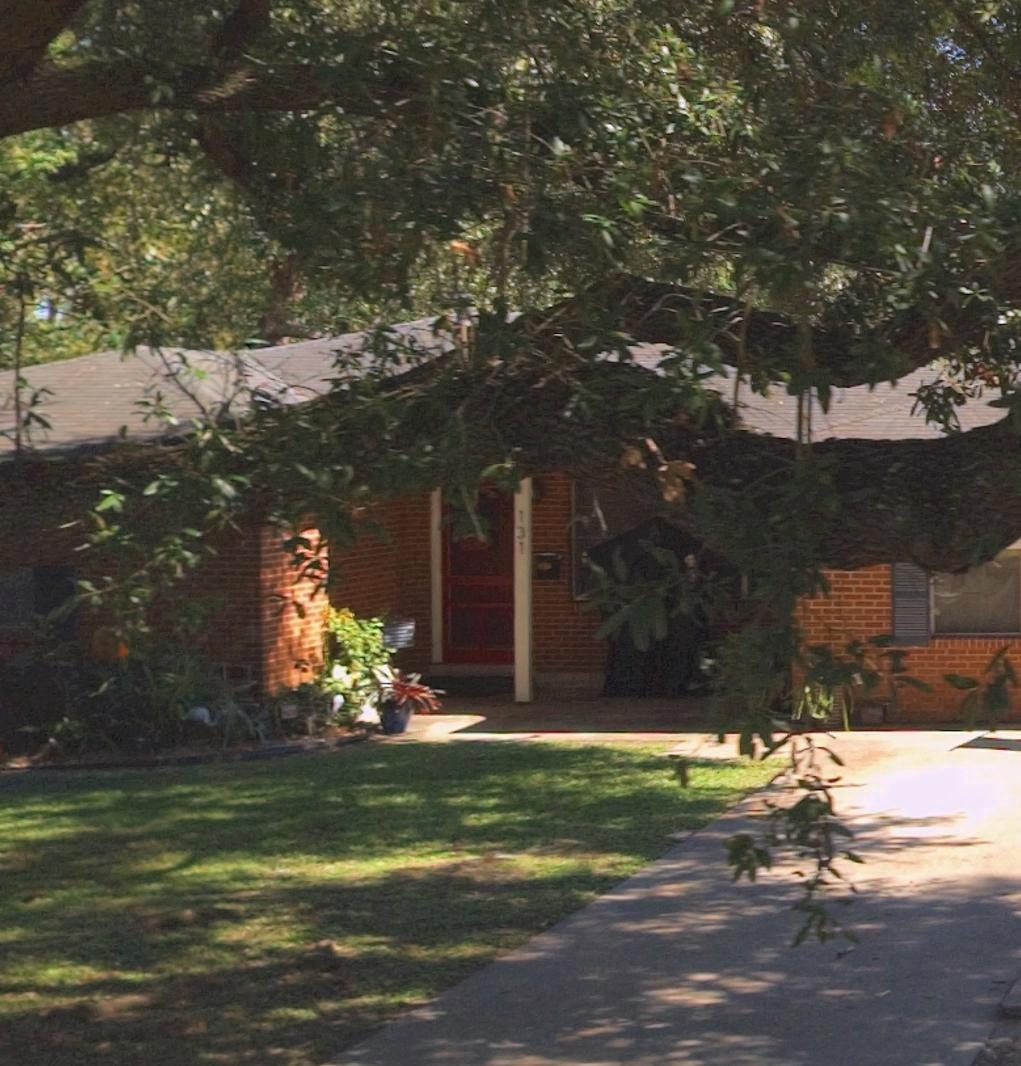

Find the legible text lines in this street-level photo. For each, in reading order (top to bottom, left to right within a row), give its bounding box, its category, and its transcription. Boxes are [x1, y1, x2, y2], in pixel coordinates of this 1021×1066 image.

[515, 509, 528, 557] StreetNumber: 131